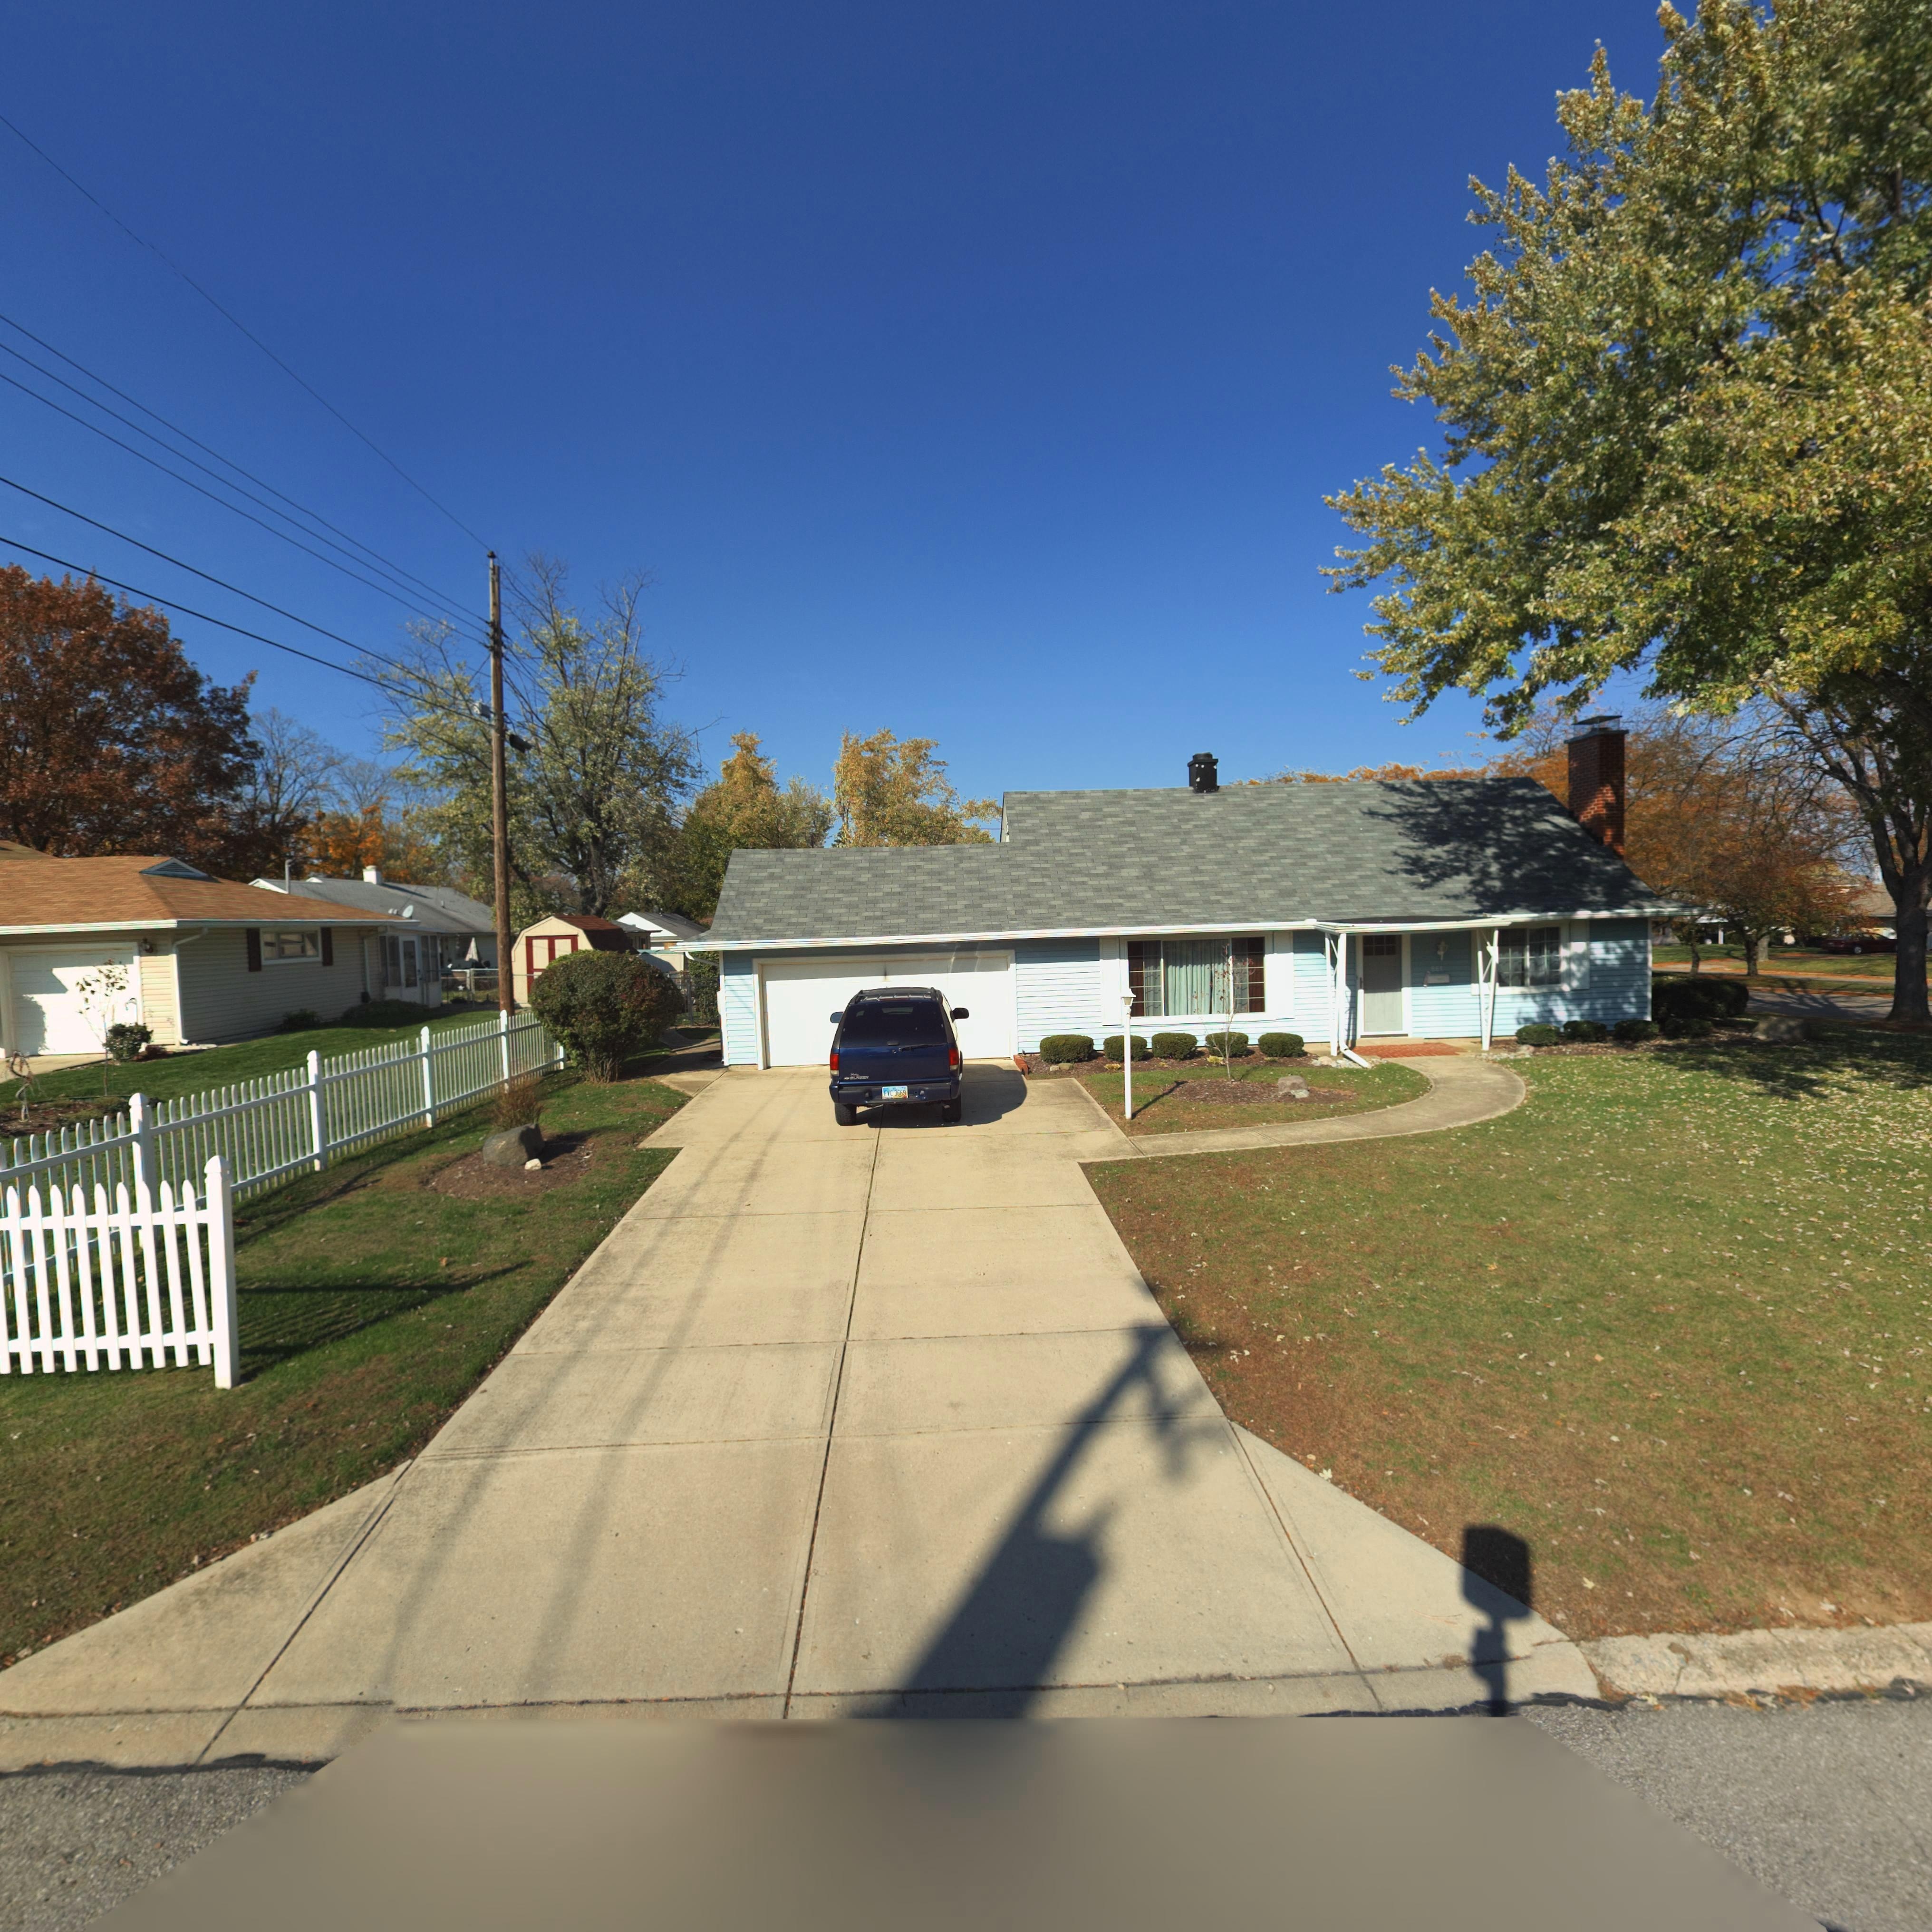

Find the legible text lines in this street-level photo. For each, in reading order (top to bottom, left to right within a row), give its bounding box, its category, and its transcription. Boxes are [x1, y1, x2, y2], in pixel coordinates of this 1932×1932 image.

[1430, 965, 1444, 973] StreetNumber: **1